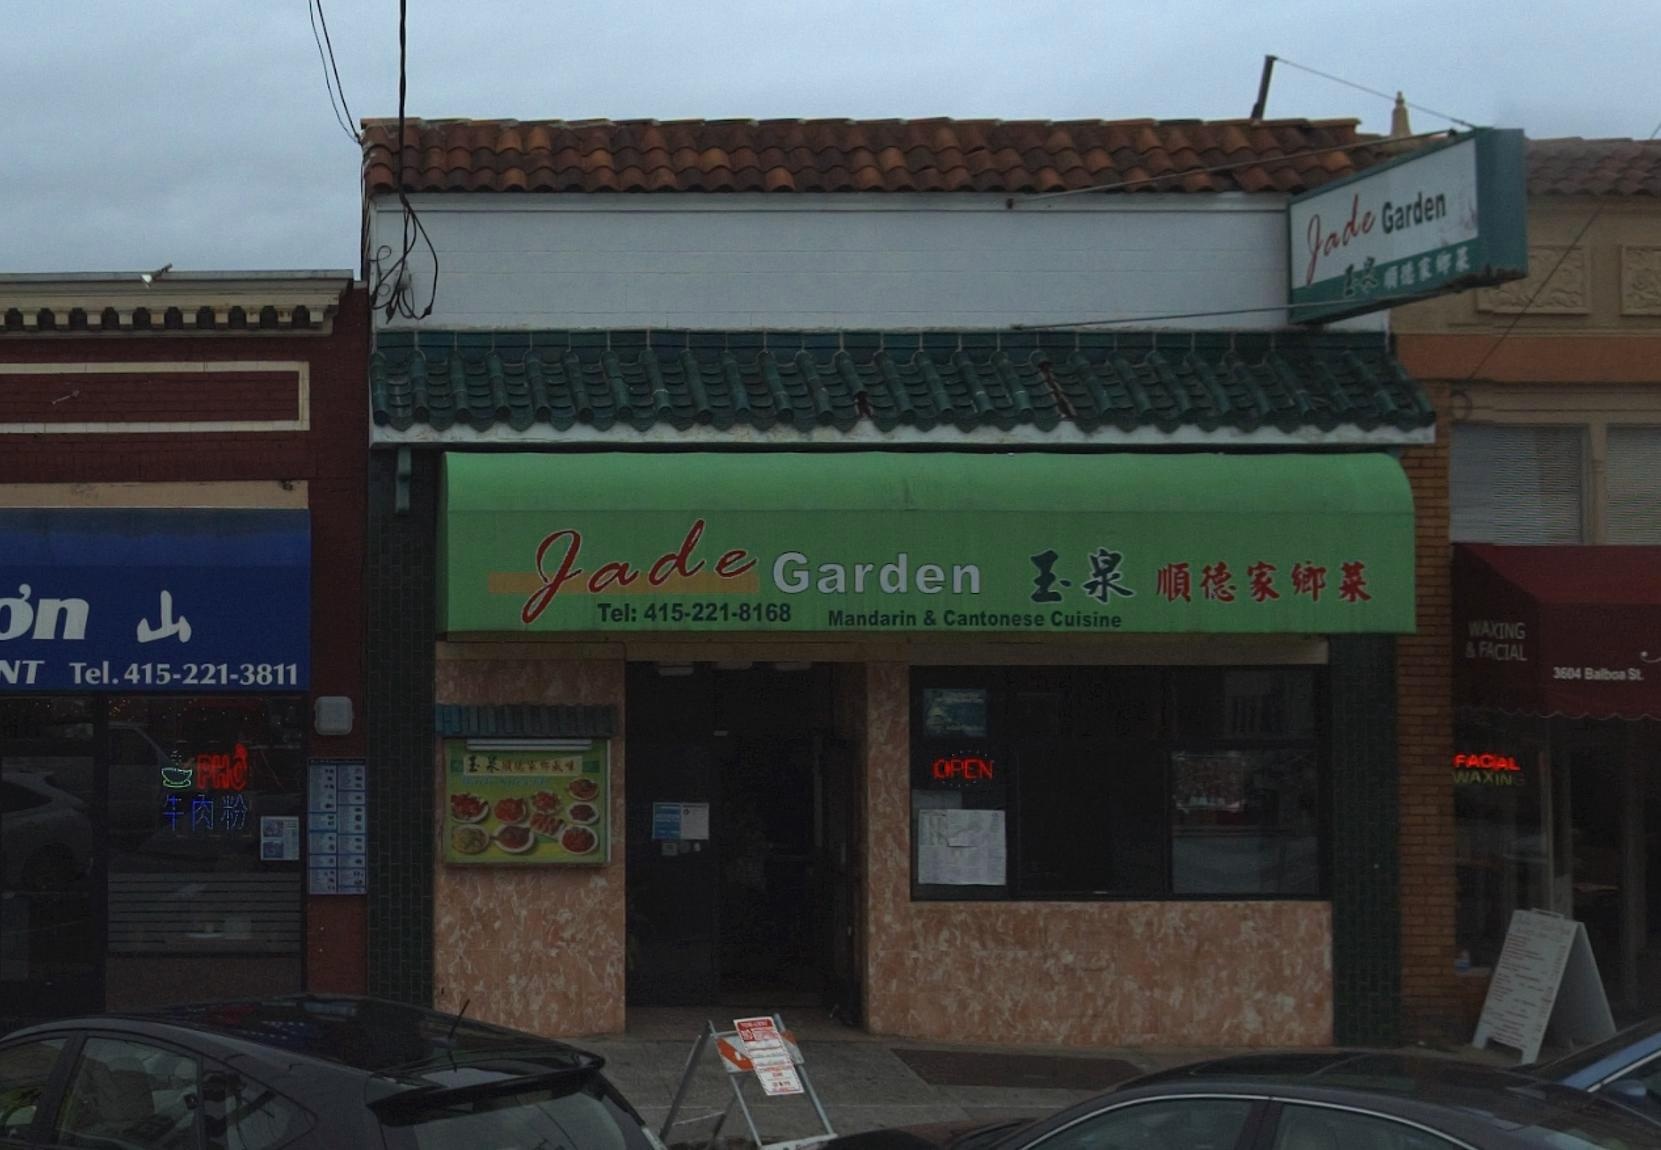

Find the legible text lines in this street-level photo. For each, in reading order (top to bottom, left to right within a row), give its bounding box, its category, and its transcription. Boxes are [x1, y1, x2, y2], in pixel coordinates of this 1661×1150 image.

[1303, 190, 1450, 291] BusinessName: Jade Garden
[517, 512, 997, 627] BusinessName: Jade Garden
[24, 590, 97, 645] BusinessName: n
[595, 600, 794, 624] None: Tel:415-221-8168
[826, 607, 1123, 629] None: Mandarin & Cuisine
[1466, 618, 1528, 643] None: WA*ING
[1463, 639, 1530, 664] None: & F*CIAL
[17, 656, 298, 688] None: T Tel.415-221-3811
[1551, 664, 1583, 682] StreetNumber: 3604
[1583, 665, 1646, 682] StreetName: Balboa St.
[195, 752, 249, 793] None: PHO
[930, 756, 996, 781] None: OPEN
[1450, 750, 1523, 772] None: FACIAL
[1449, 769, 1527, 788] None: WAXING
[737, 1018, 774, 1030] None: TOW AWAY
[740, 1026, 779, 1043] None: NO STOPPING